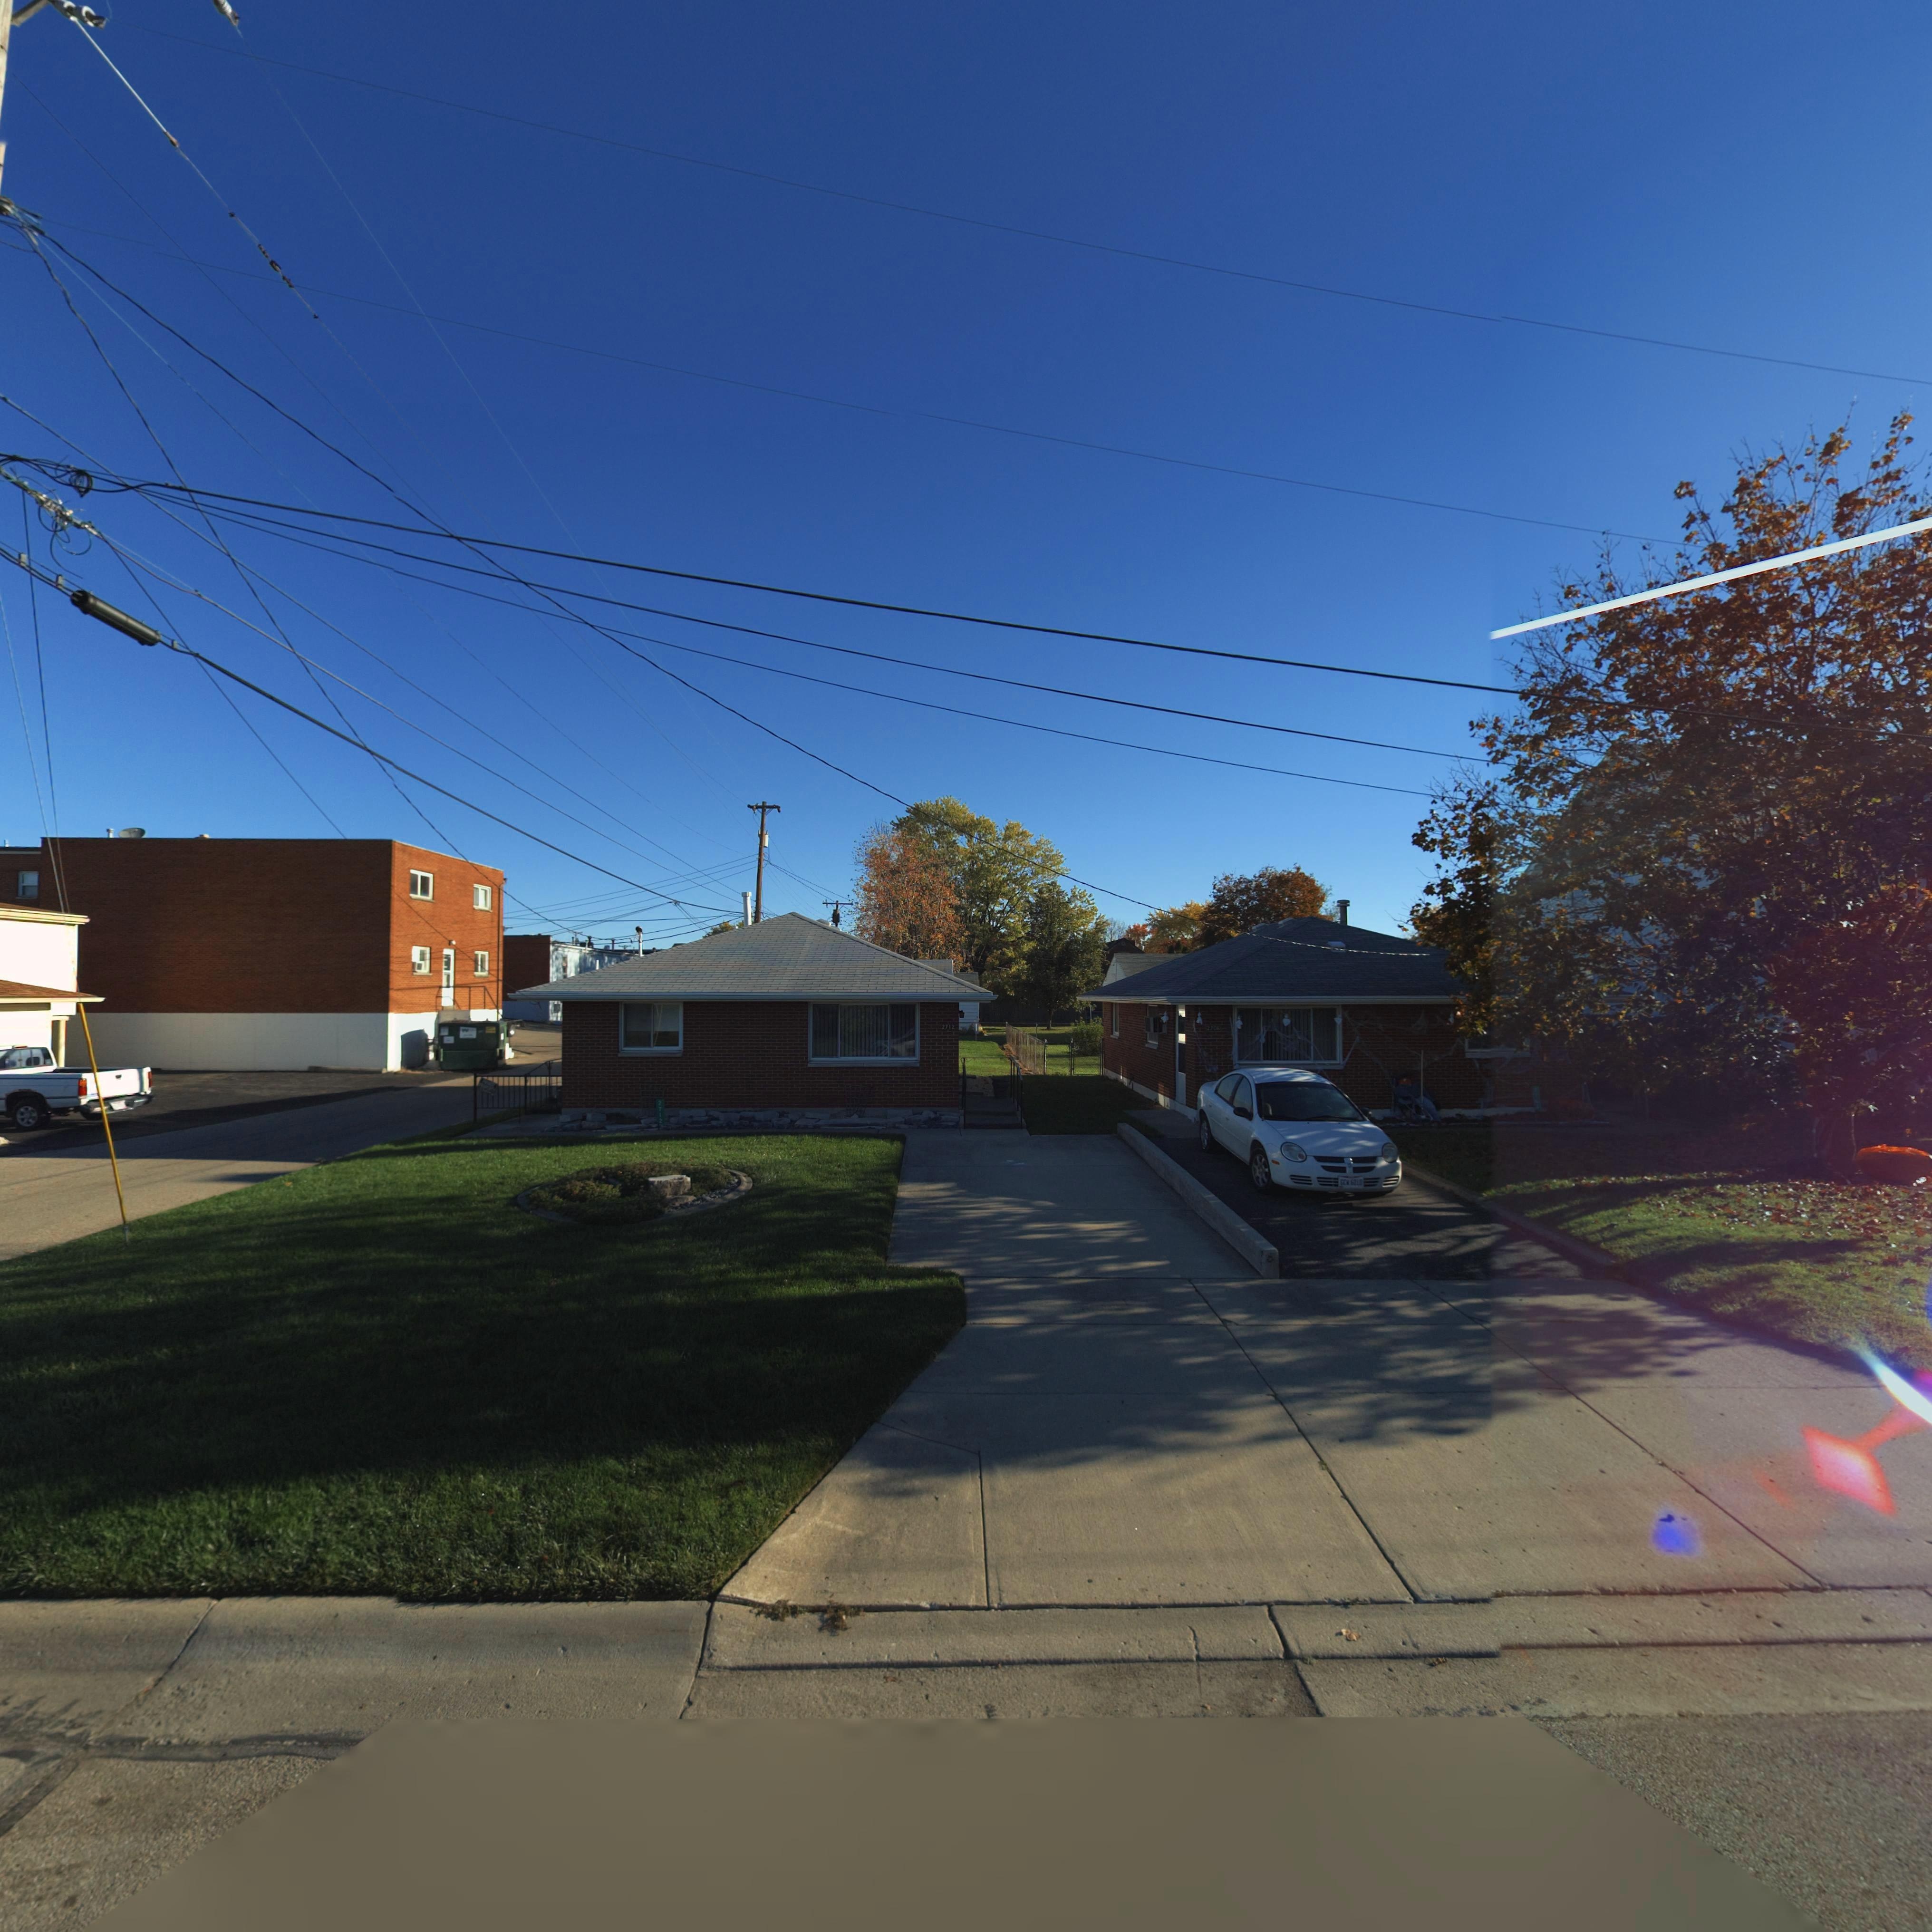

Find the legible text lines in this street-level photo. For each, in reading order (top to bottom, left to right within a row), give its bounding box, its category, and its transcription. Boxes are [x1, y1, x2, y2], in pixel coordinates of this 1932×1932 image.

[941, 1024, 955, 1030] StreetNumber: 2712
[1206, 1024, 1220, 1031] StreetNumber: 270*
[657, 1100, 664, 1124] StreetNumber: 2712